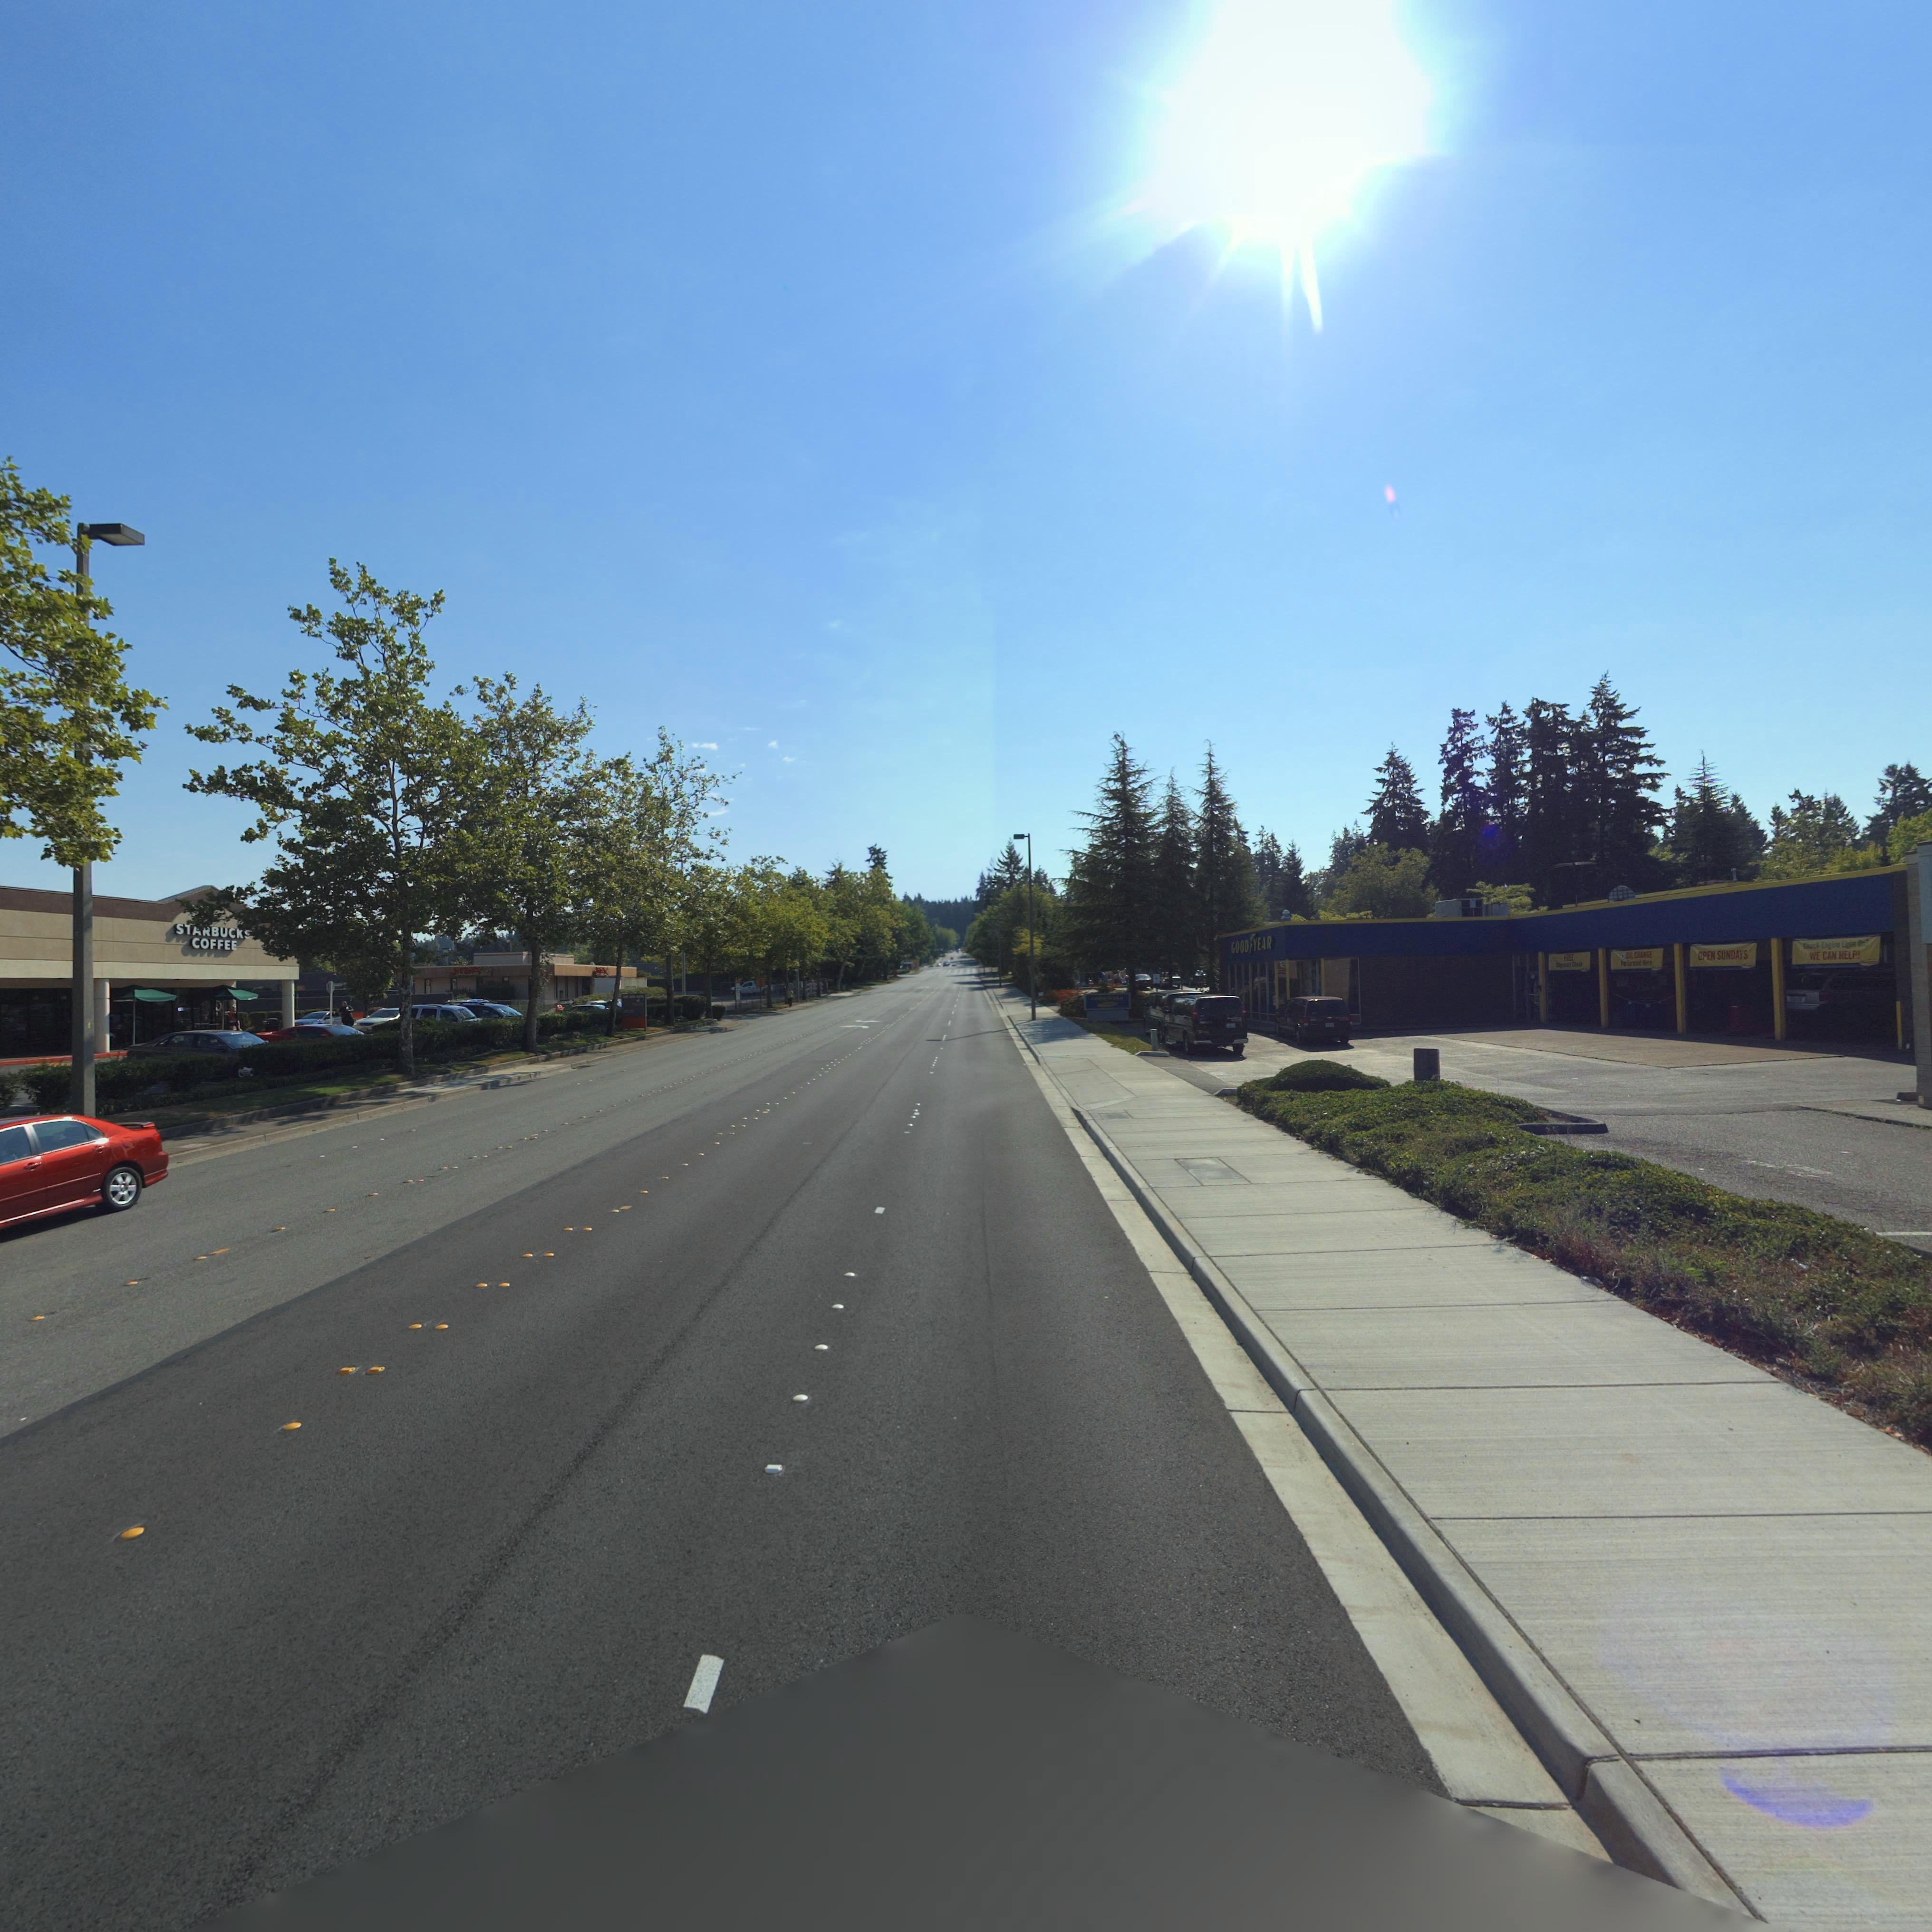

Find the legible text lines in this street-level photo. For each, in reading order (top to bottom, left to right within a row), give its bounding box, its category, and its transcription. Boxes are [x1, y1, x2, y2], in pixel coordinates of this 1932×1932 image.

[176, 922, 251, 939] BusinessName: ST*RBUCKS
[192, 937, 236, 950] BusinessName: COFFEE
[1231, 935, 1272, 954] BusinessName: GOOD*YEAR